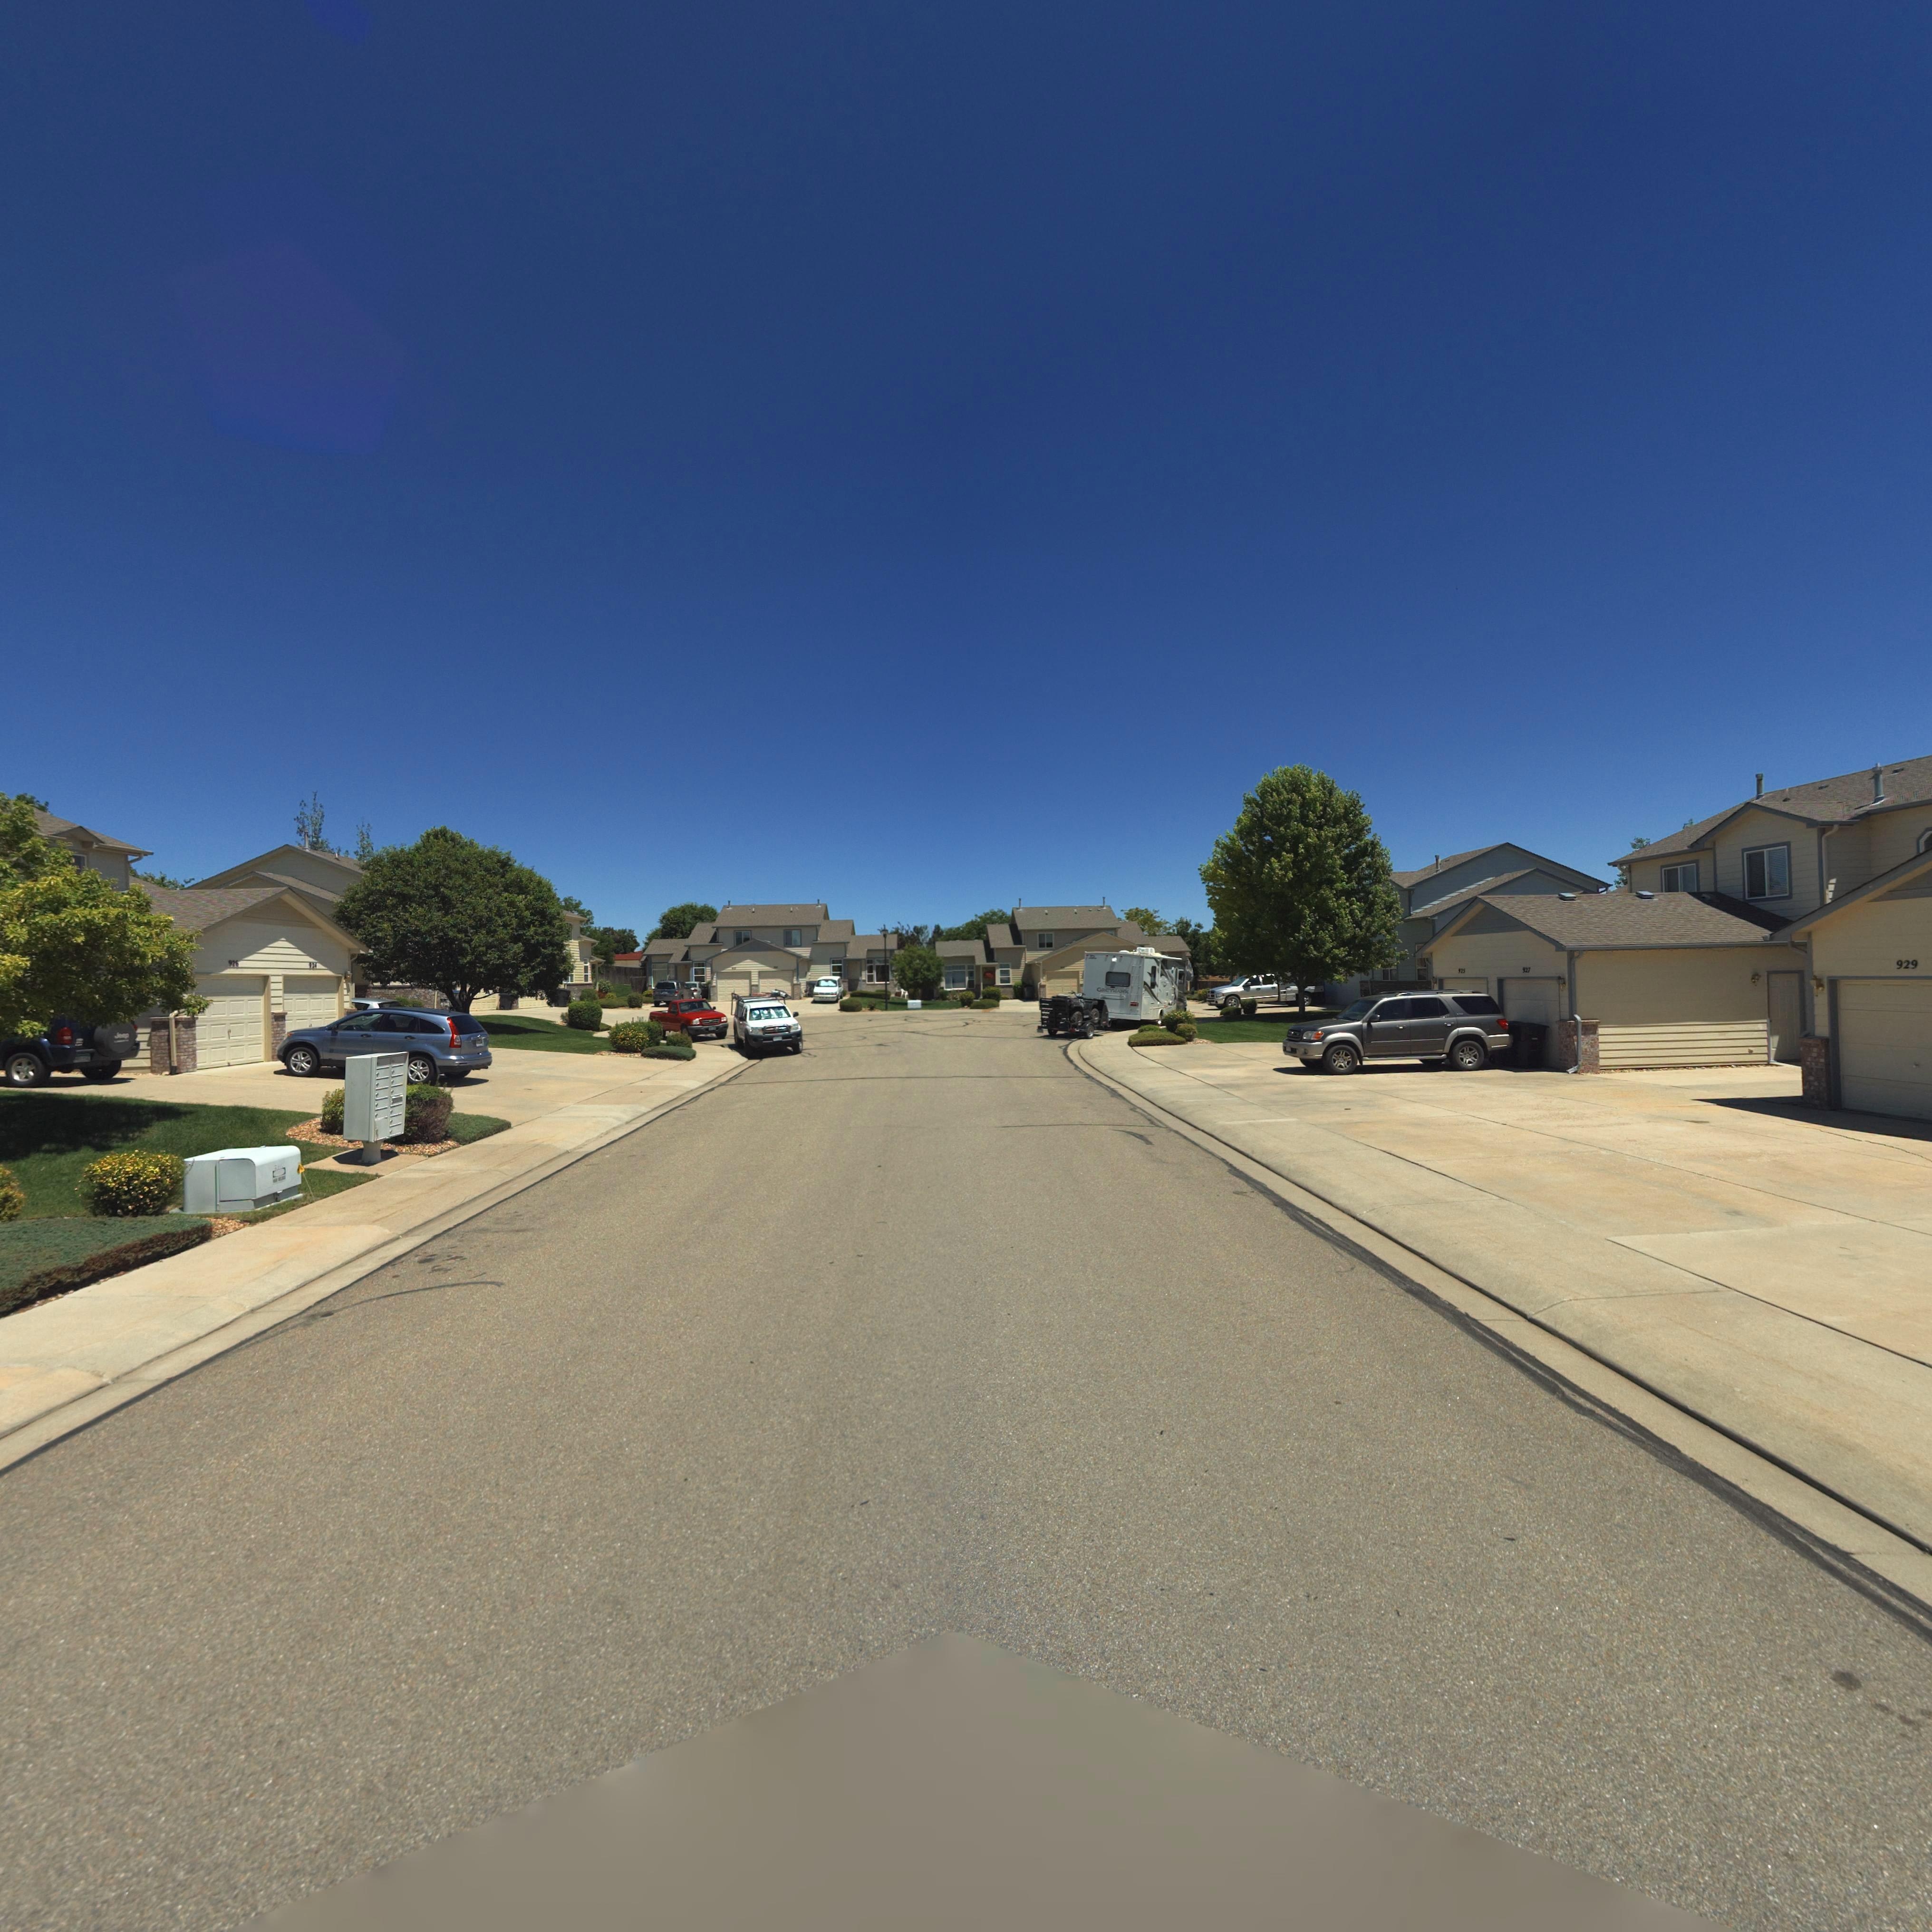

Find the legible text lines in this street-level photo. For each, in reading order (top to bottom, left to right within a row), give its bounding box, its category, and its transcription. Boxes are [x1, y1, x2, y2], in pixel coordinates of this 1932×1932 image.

[228, 959, 239, 967] StreetNumber: 926
[309, 962, 317, 969] StreetNumber: 924
[1895, 959, 1918, 969] StreetNumber: 929
[1457, 968, 1465, 974] StreetNumber: 9*5
[1522, 966, 1531, 973] StreetNumber: 92*